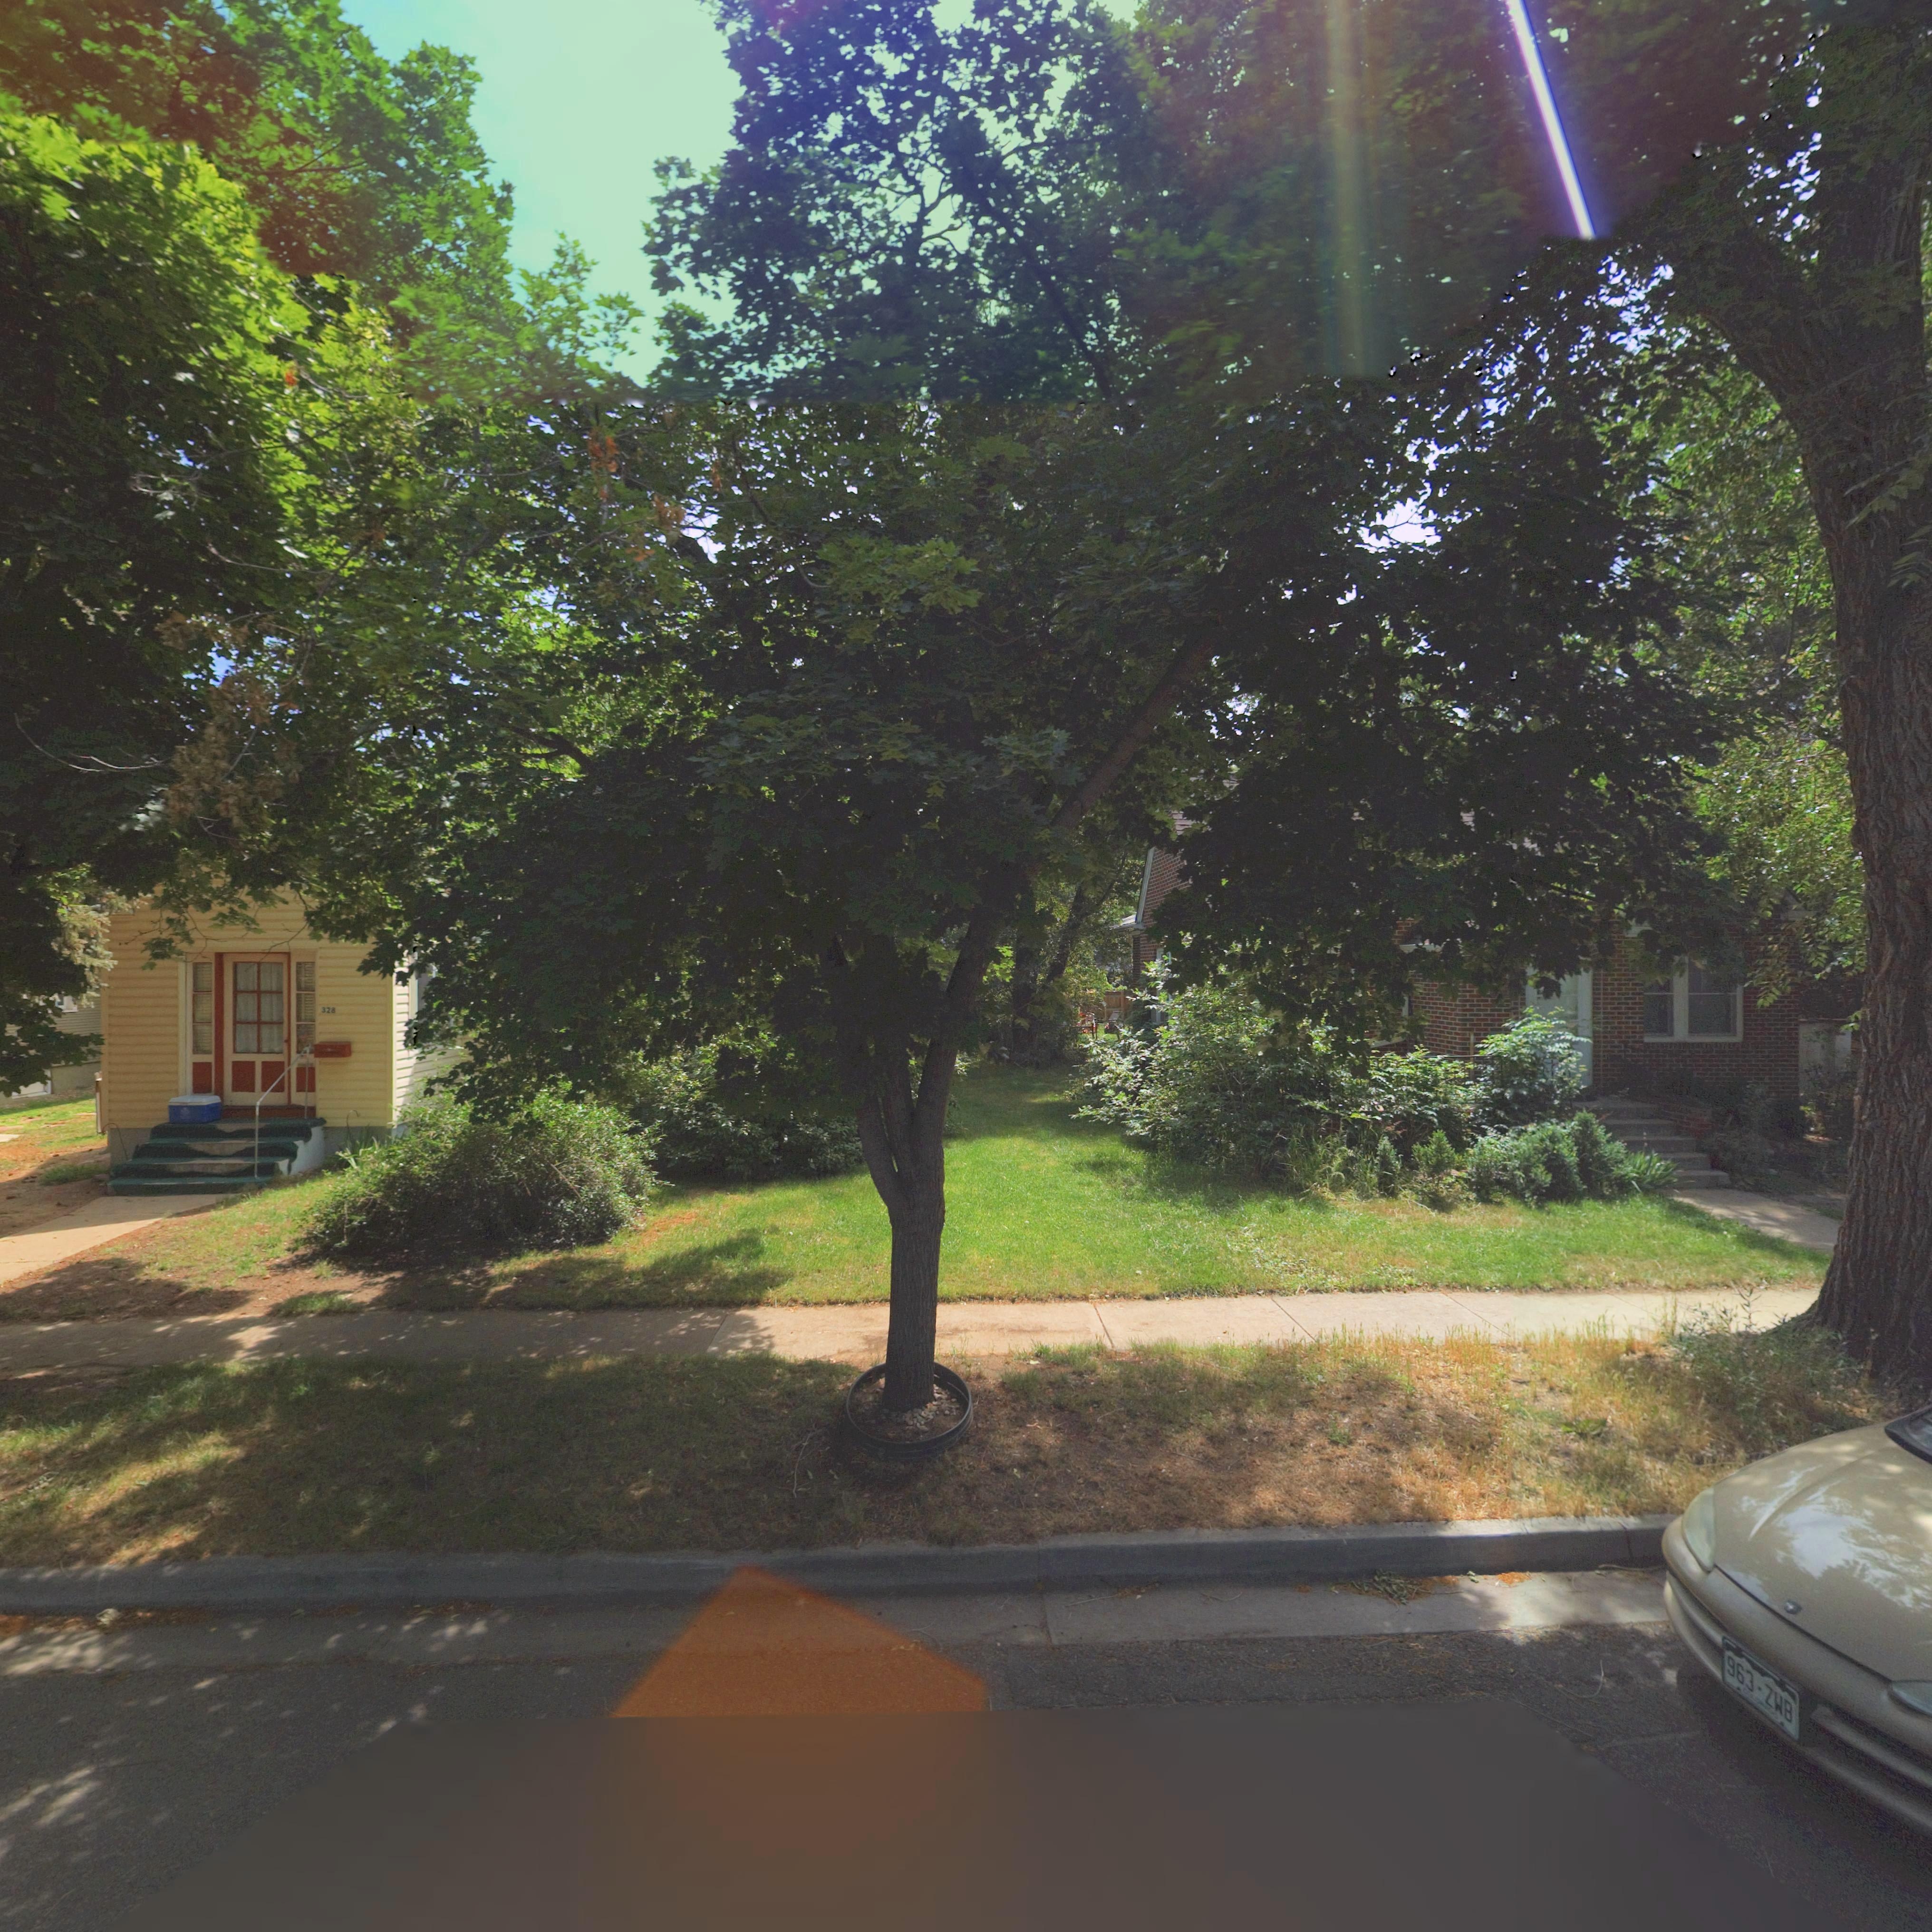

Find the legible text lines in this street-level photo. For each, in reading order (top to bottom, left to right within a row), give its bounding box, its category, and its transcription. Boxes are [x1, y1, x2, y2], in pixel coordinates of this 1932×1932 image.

[321, 1006, 335, 1013] StreetNumber: 328